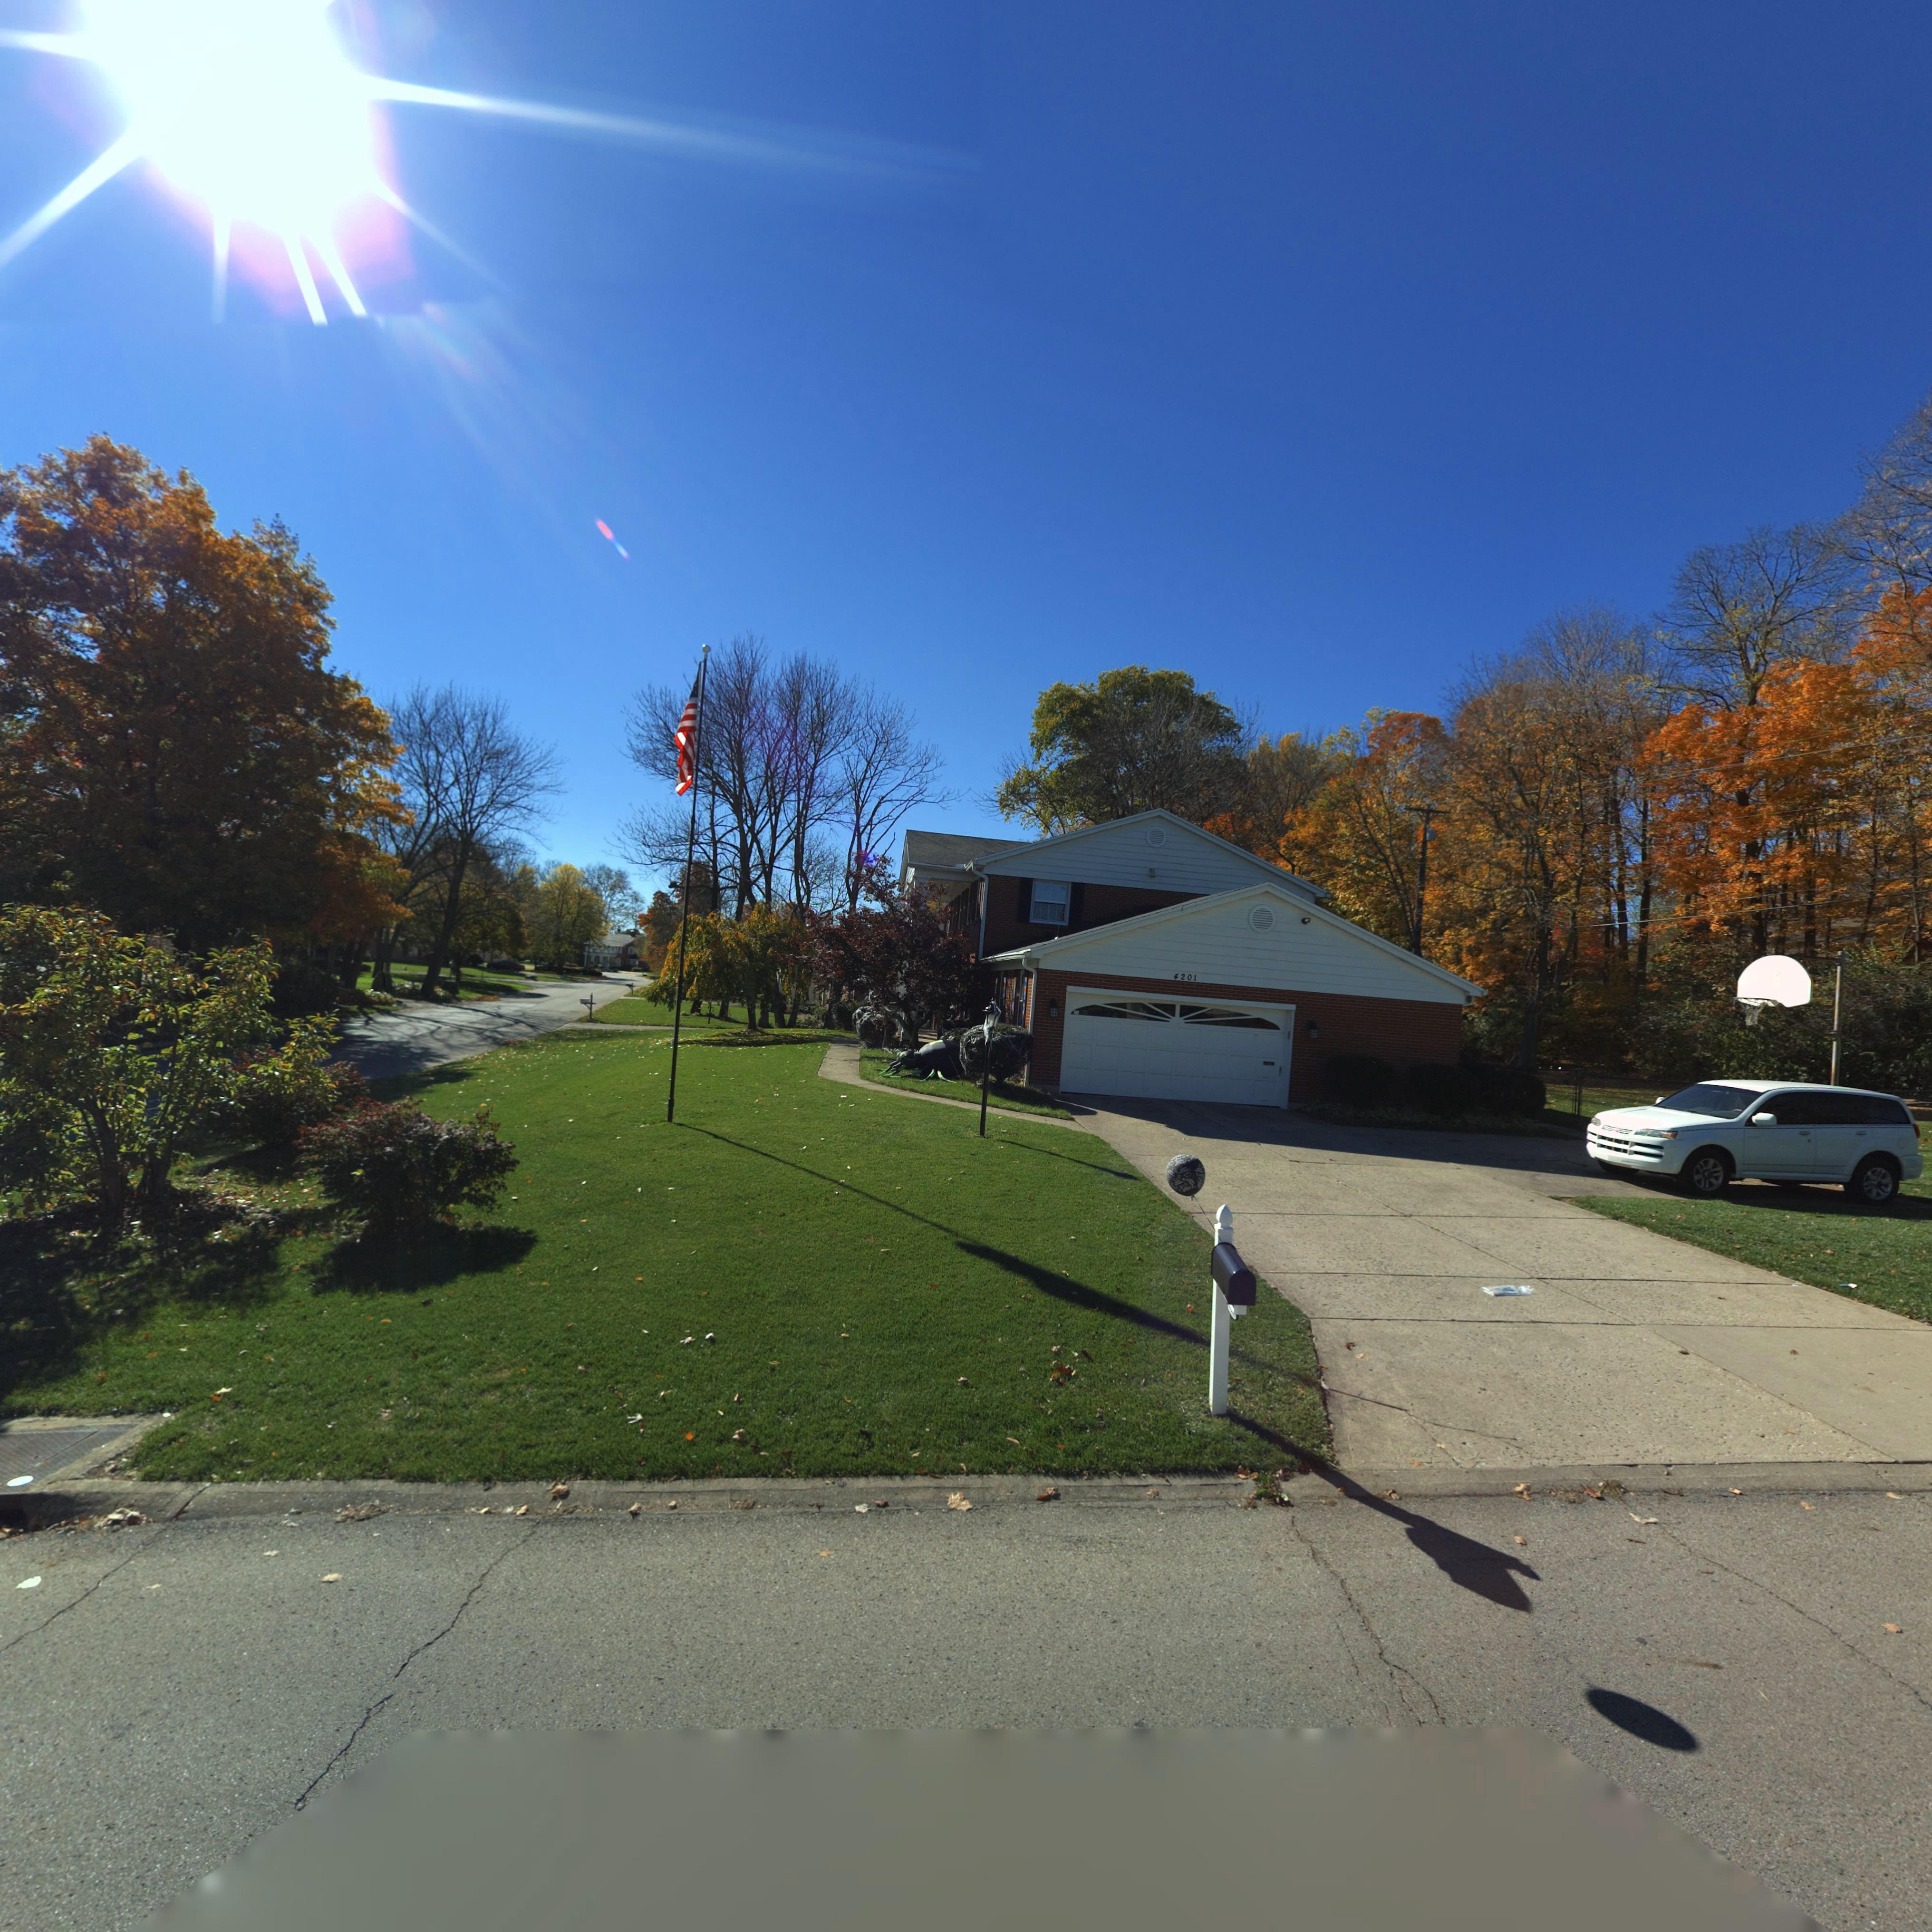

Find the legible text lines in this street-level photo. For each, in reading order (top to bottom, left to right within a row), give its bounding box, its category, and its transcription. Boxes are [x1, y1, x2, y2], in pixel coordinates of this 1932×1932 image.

[1172, 972, 1197, 982] StreetNumber: 4201